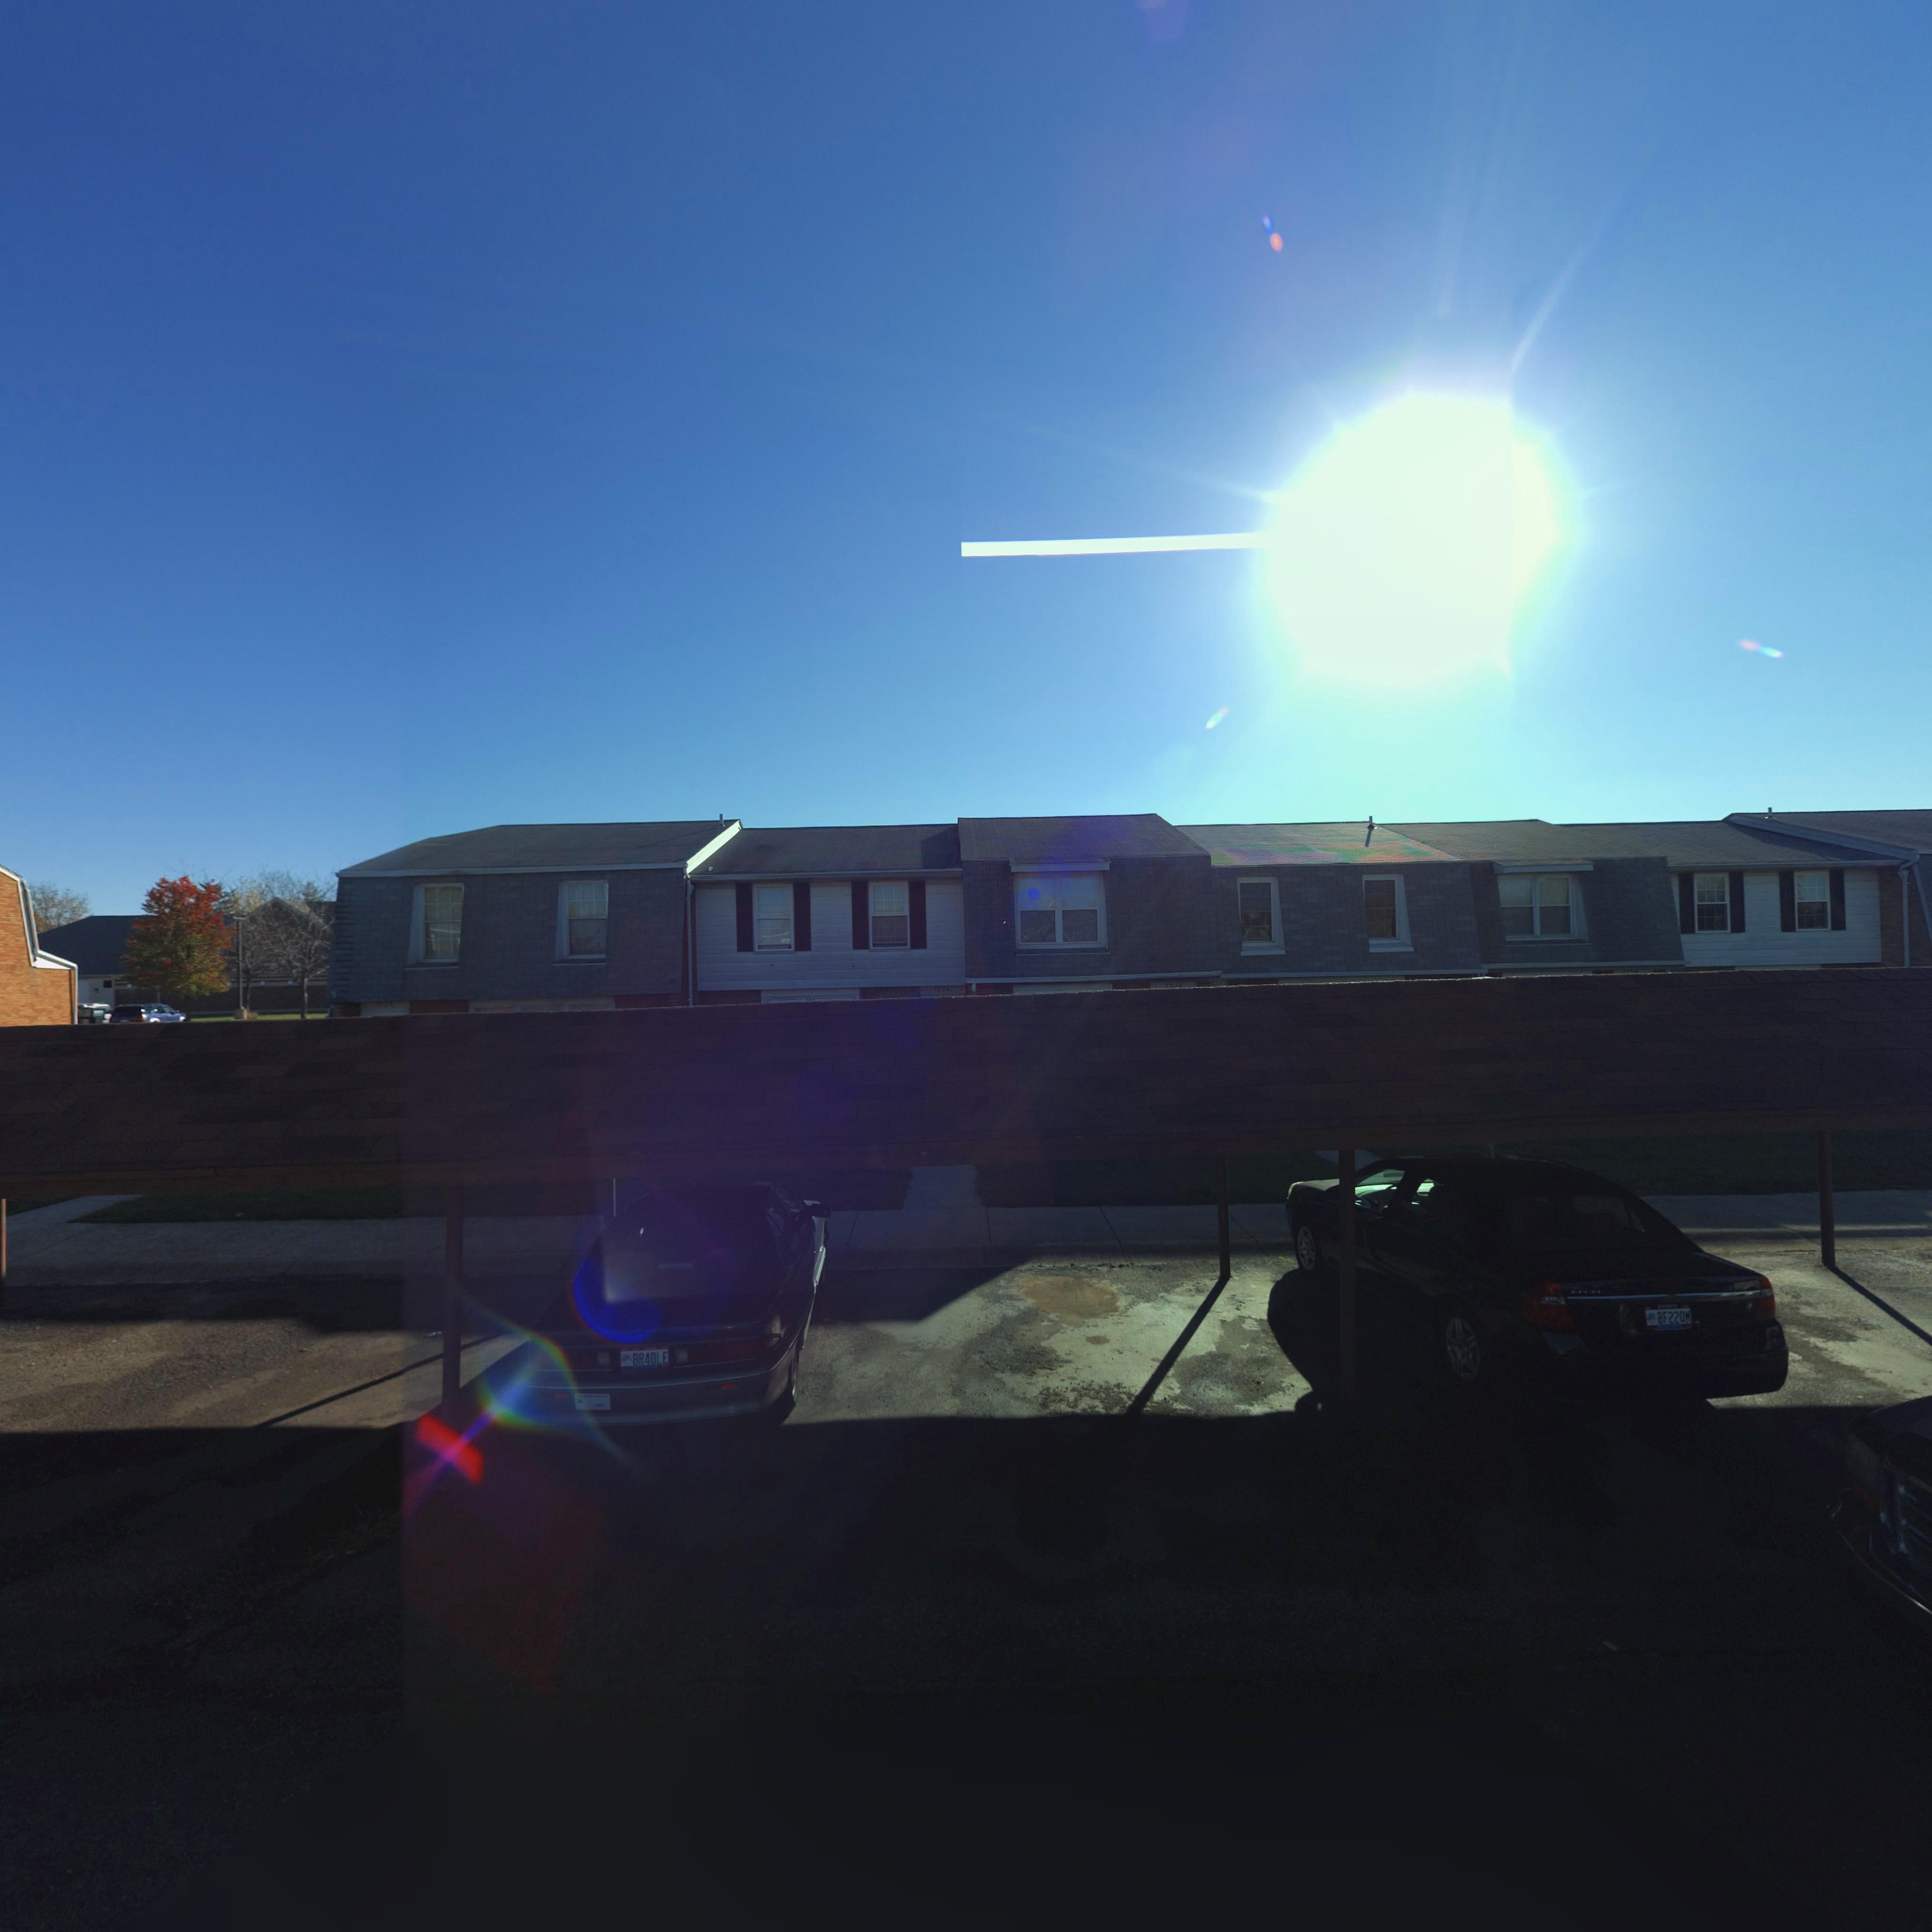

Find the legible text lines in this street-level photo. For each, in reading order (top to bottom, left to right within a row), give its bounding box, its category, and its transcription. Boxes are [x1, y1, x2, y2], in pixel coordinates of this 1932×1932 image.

[1165, 982, 1182, 988] StreetNumber: 7524
[933, 985, 950, 992] StreetNumber: 7526
[373, 1000, 394, 1007] StreetNumber: 75*8